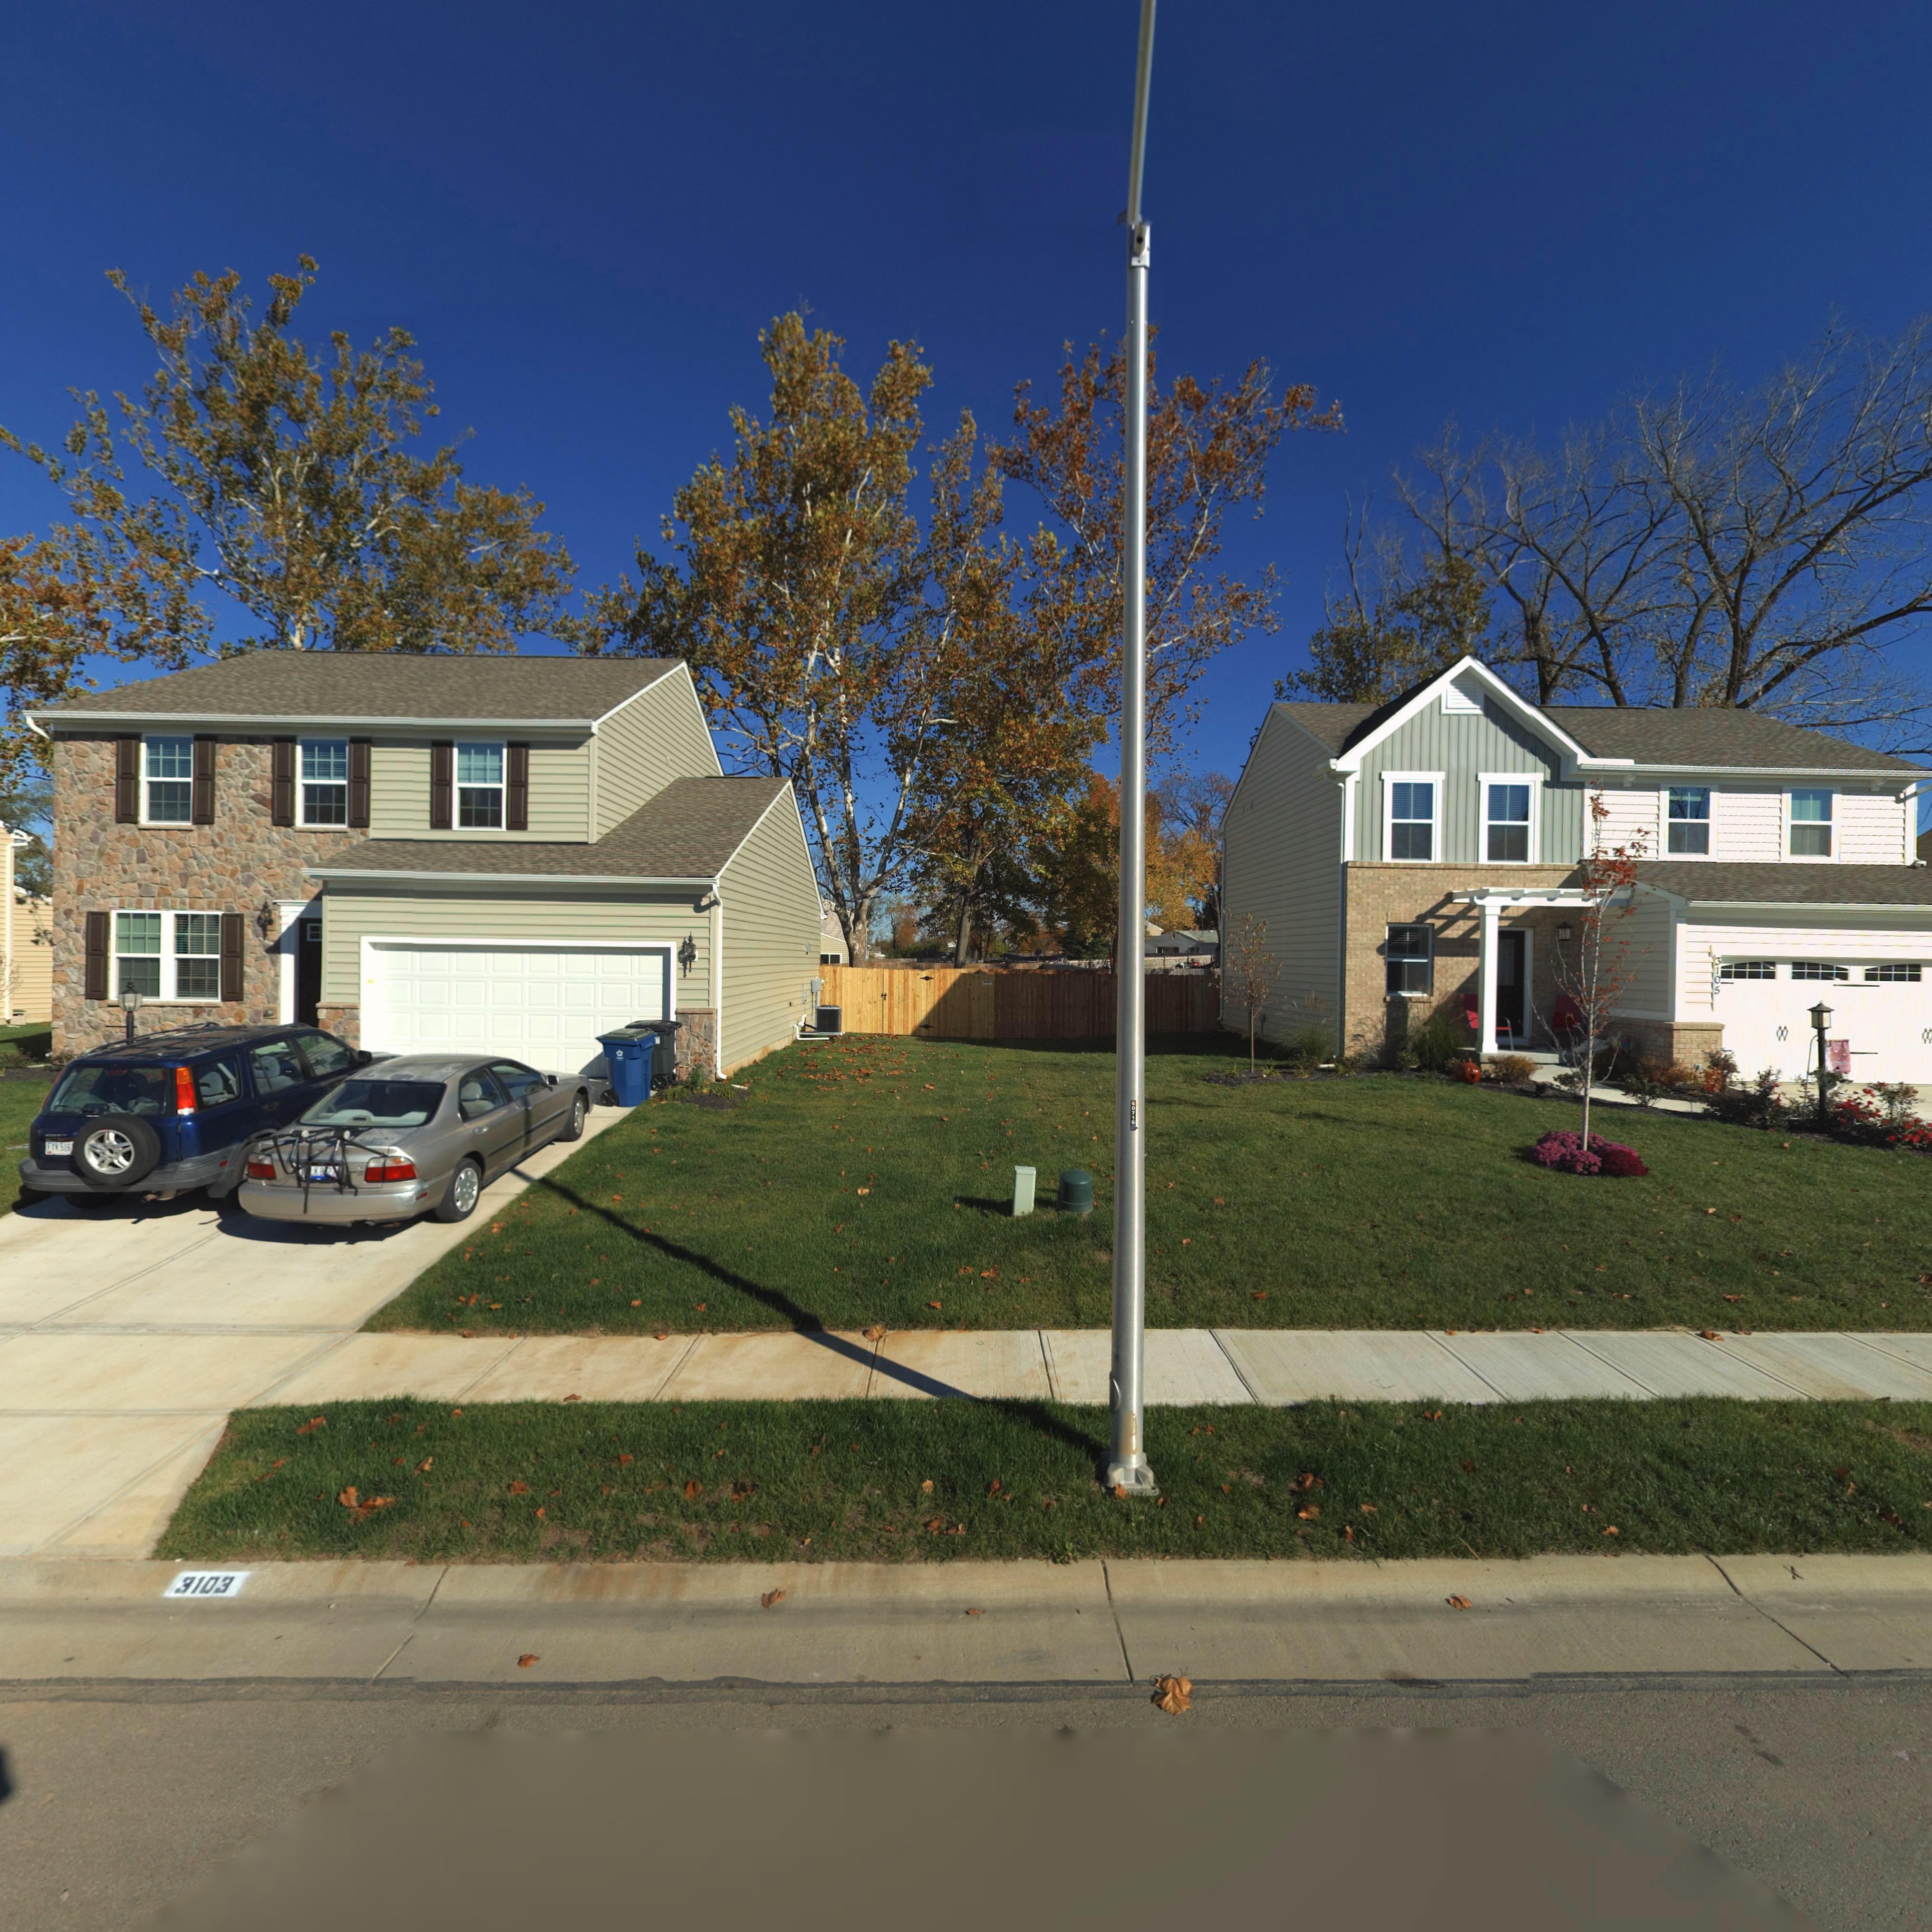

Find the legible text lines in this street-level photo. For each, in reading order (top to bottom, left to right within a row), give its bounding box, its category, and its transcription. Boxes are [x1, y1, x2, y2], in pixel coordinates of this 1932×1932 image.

[1713, 956, 1722, 995] StreetNumber: 3105
[173, 1576, 237, 1594] StreetNumber: 3103